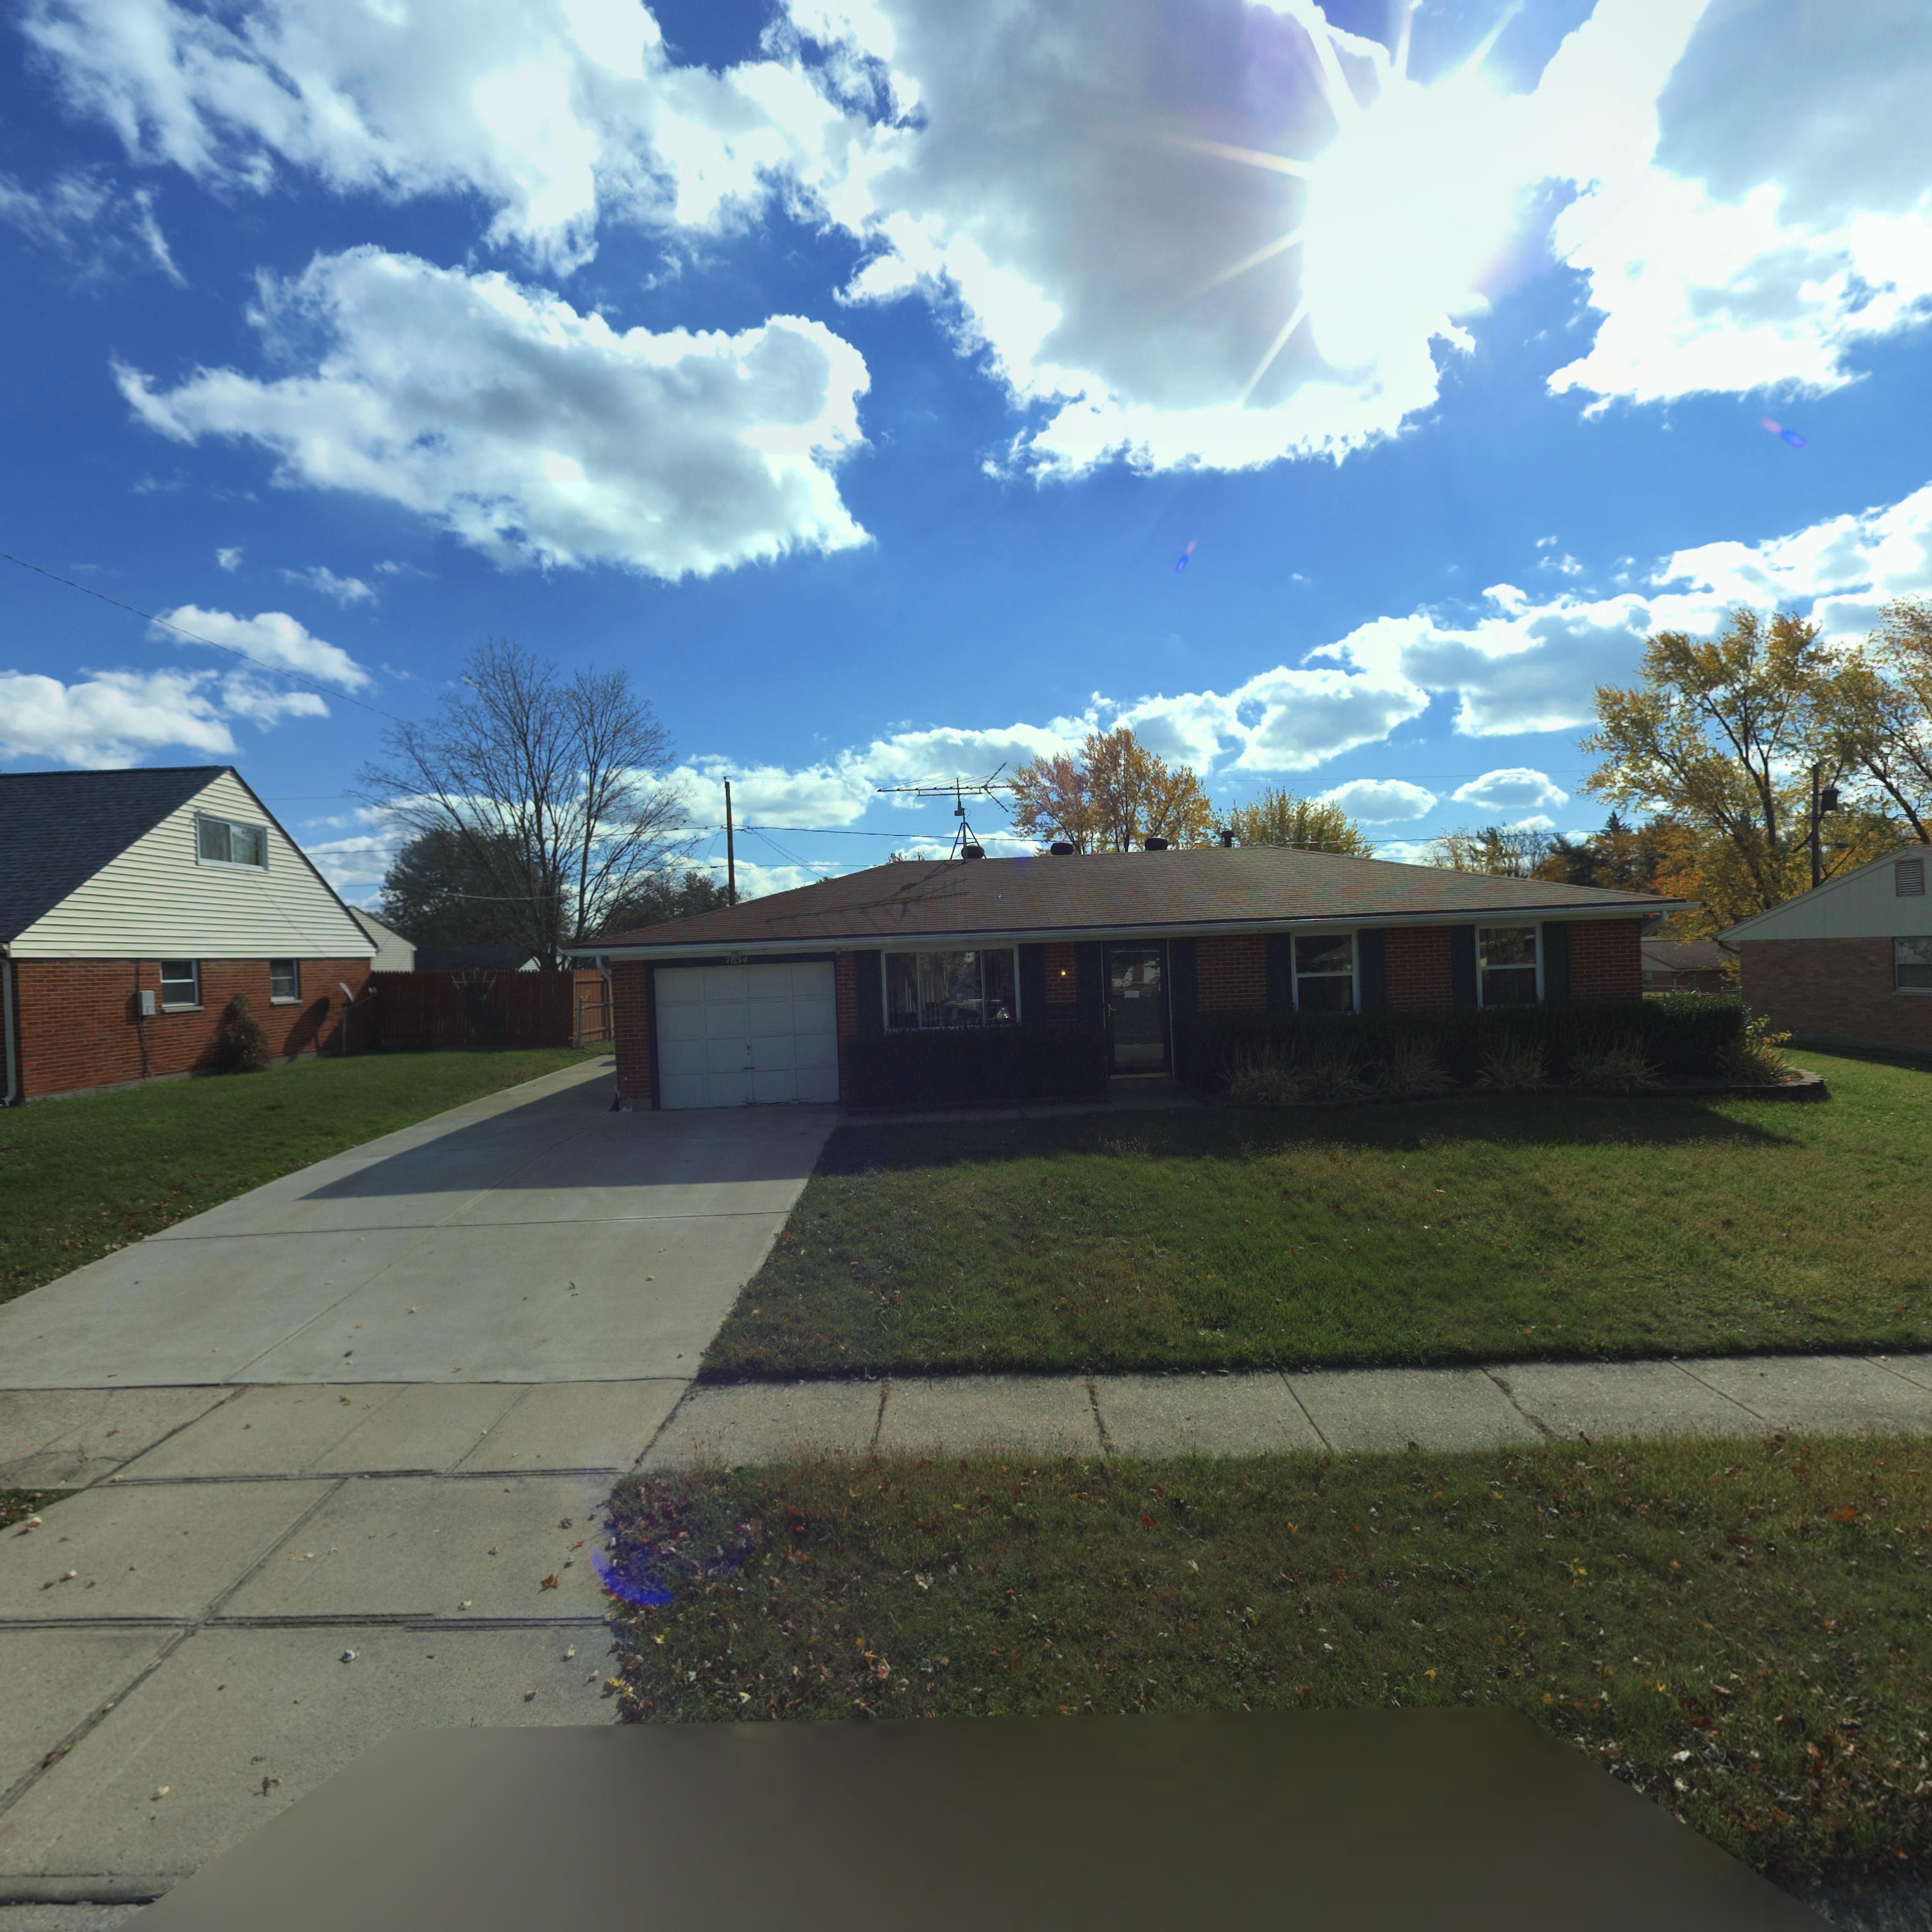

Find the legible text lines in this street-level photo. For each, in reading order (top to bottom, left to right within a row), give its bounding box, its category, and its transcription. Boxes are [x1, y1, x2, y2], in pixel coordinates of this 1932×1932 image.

[724, 955, 748, 966] StreetNumber: 7654